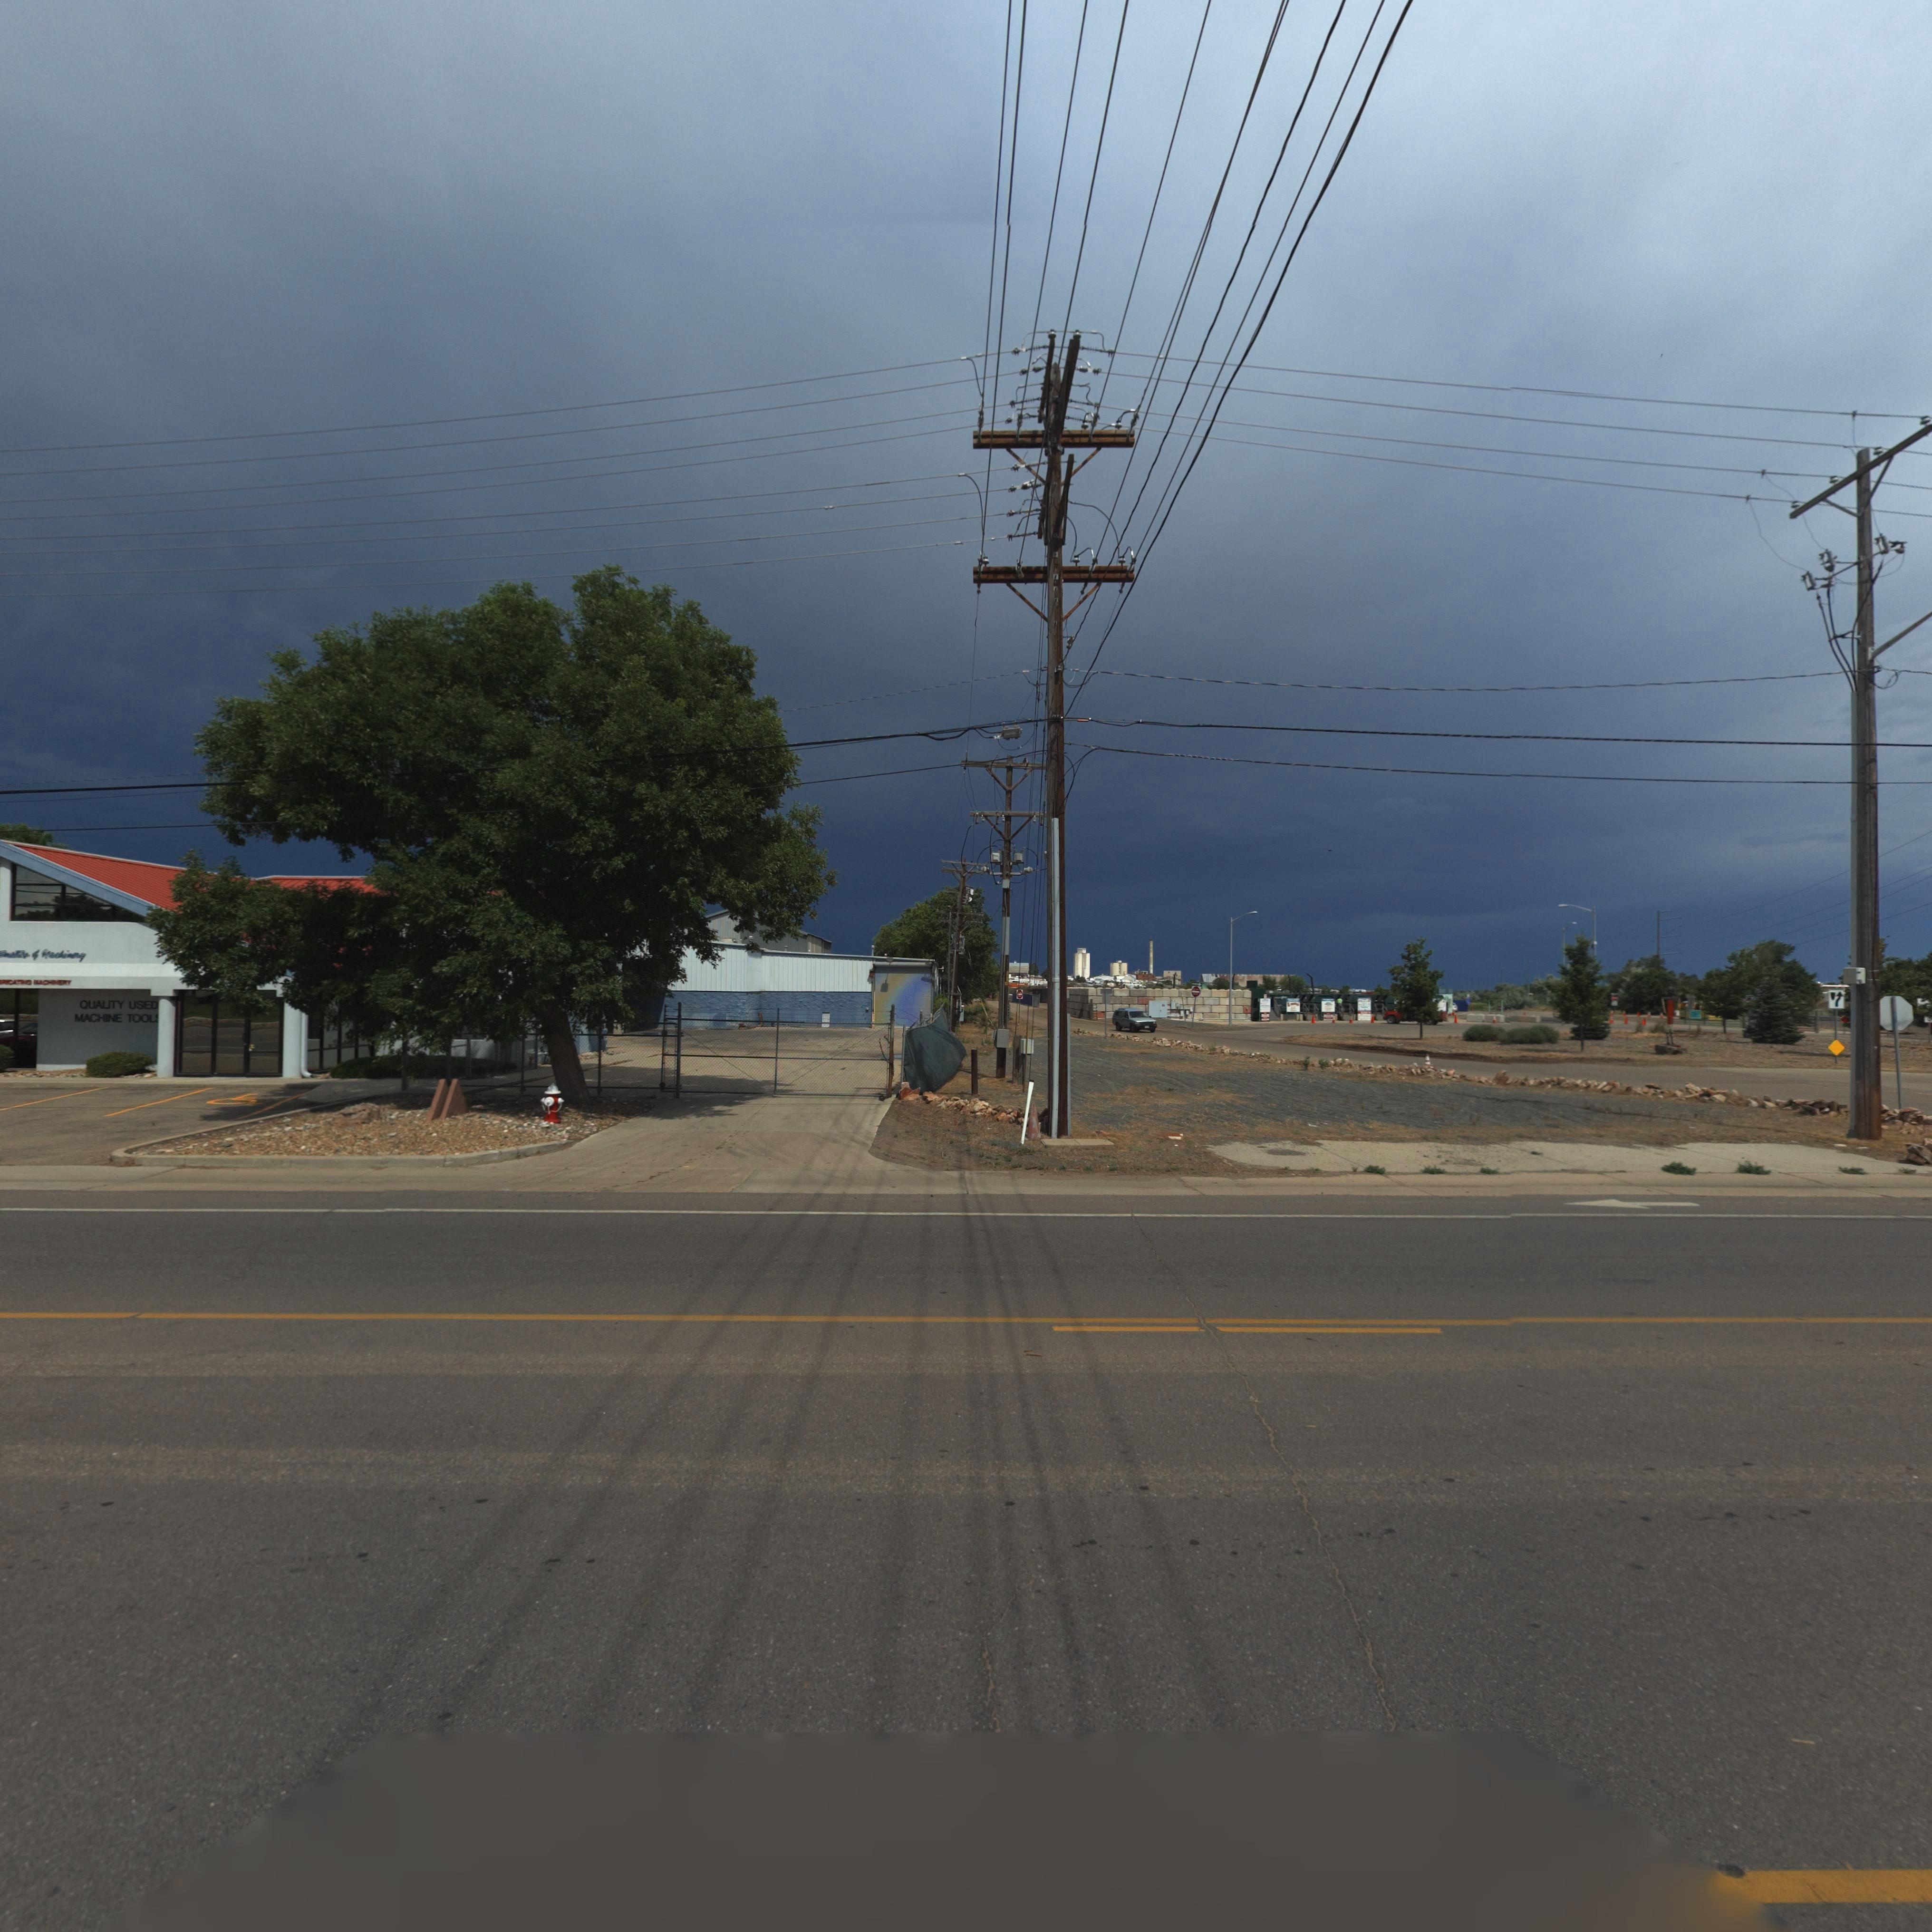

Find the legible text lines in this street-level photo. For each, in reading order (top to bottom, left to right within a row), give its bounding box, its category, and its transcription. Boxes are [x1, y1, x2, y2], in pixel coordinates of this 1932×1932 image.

[2, 947, 88, 964] BusinessName: **tics of Machinery